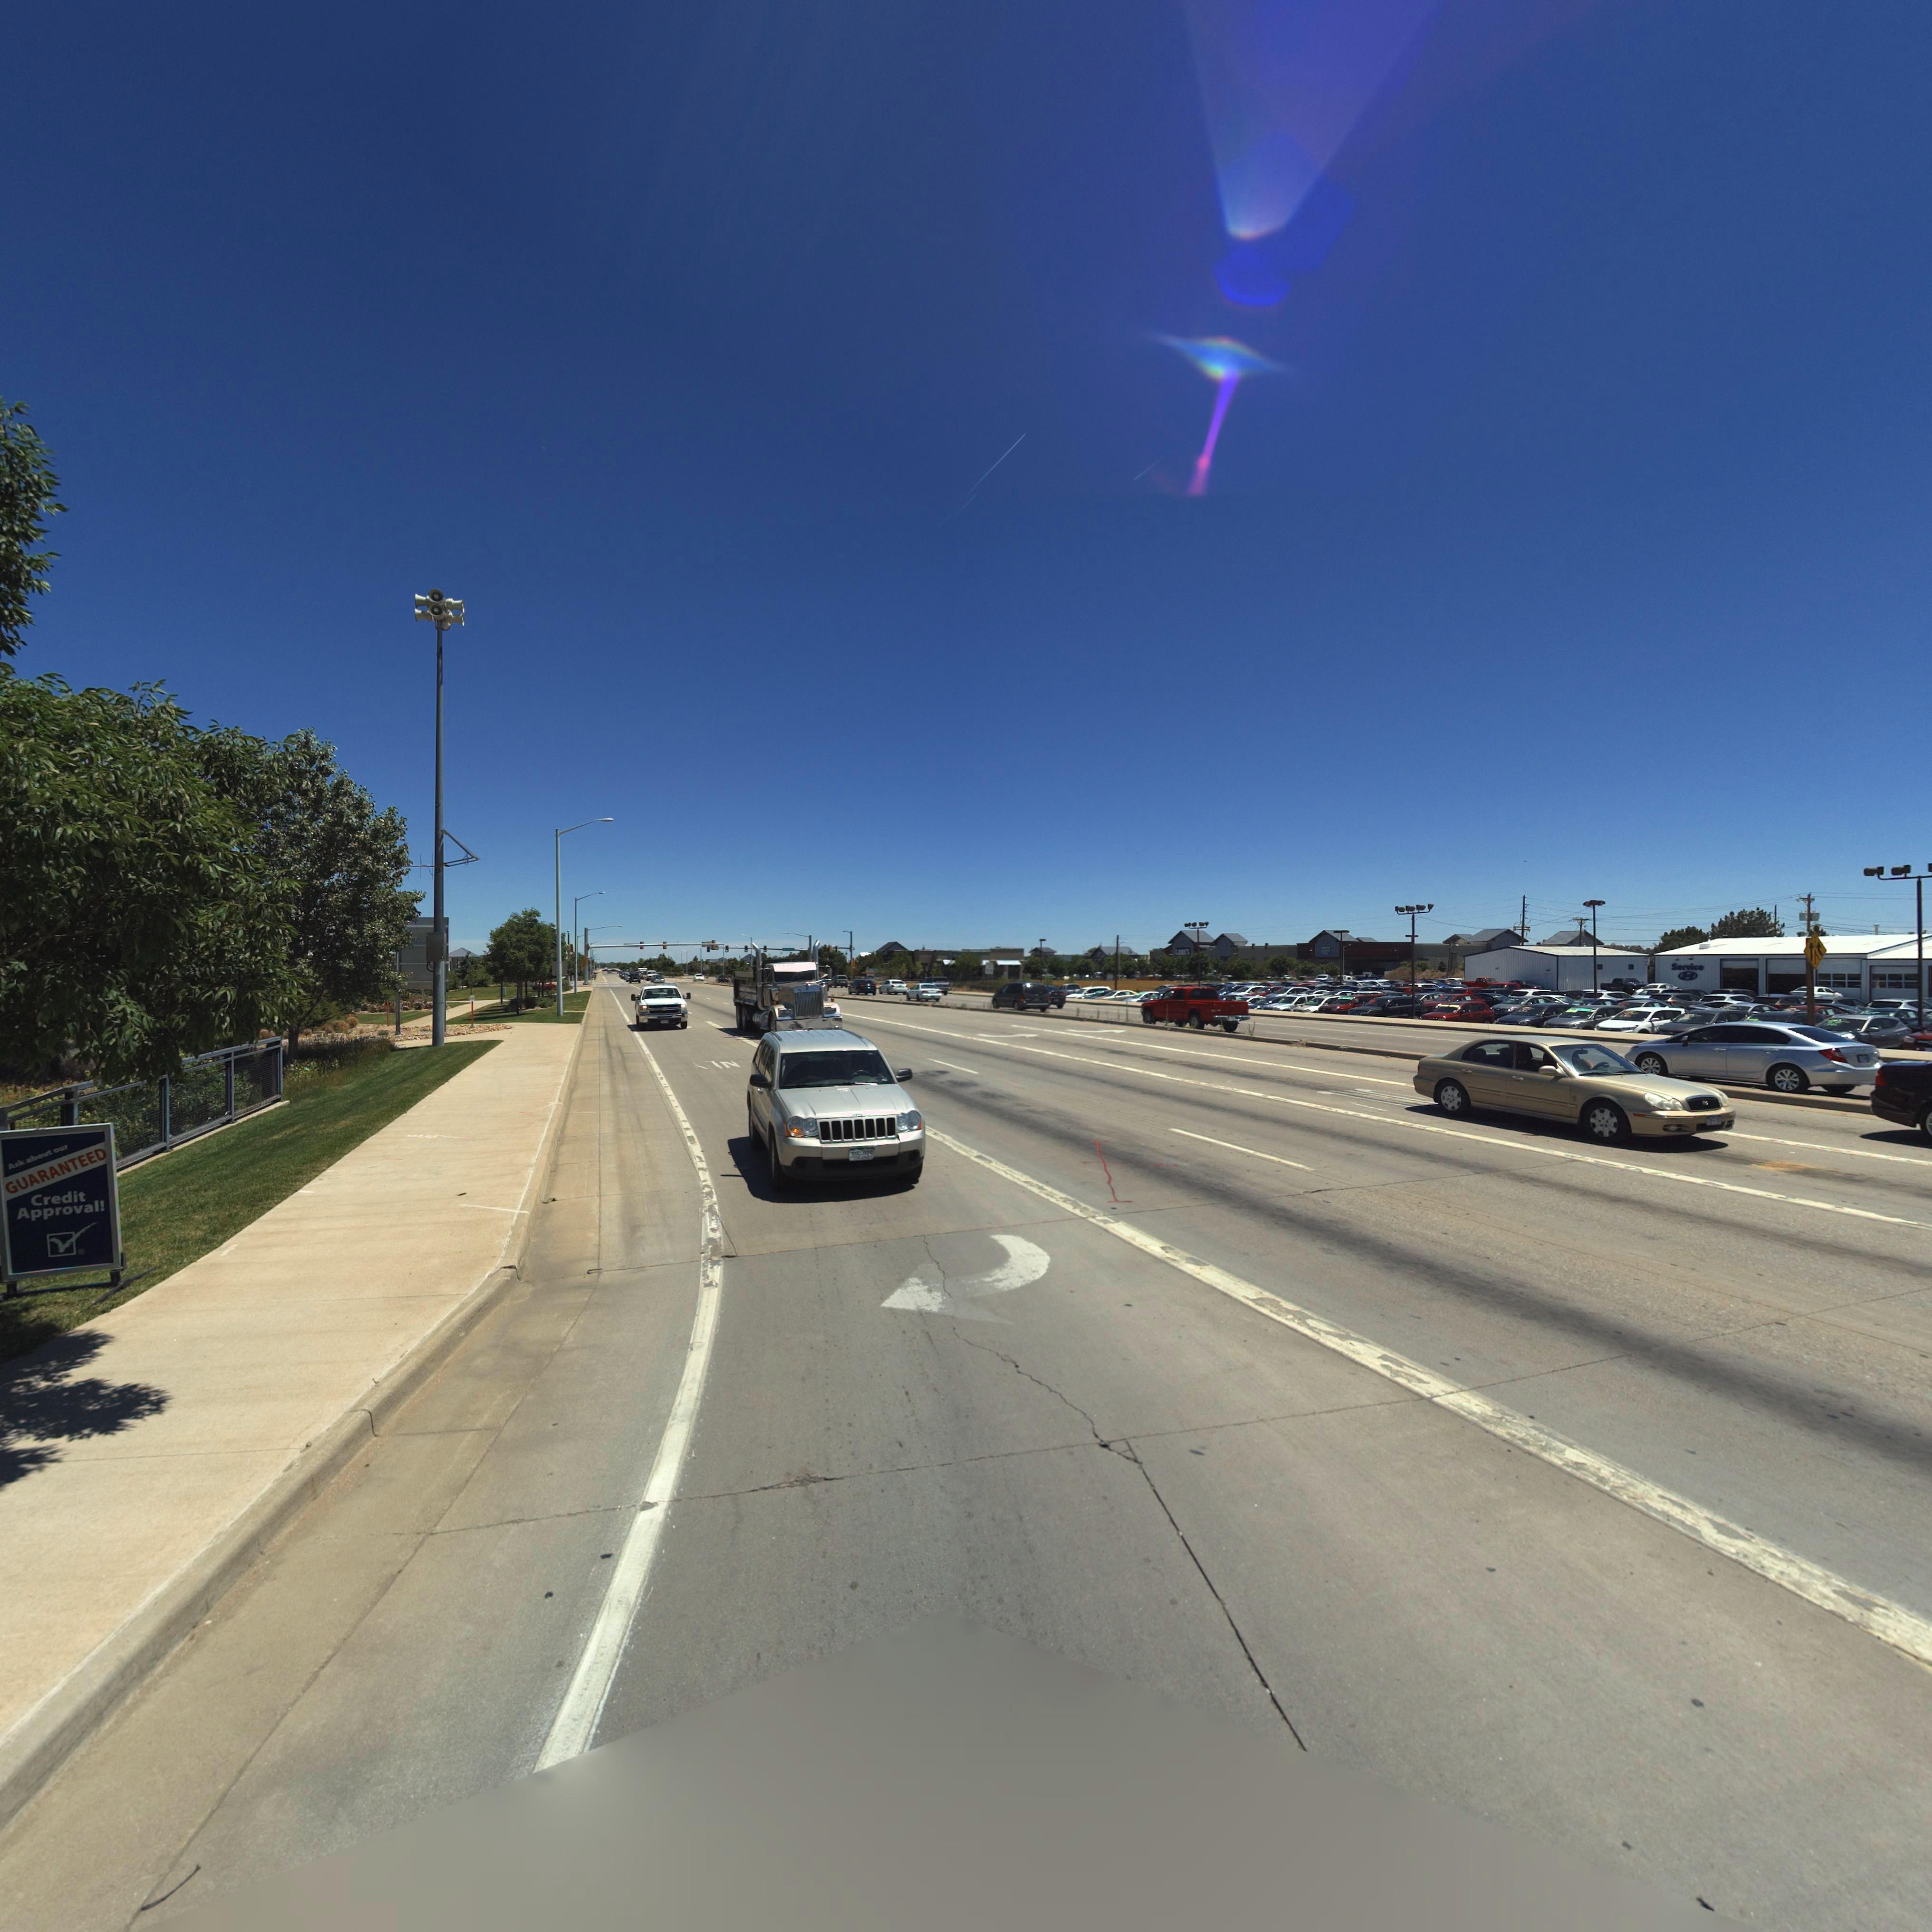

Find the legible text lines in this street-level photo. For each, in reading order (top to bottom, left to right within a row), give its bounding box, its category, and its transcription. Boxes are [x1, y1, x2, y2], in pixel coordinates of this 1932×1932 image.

[1175, 948, 1190, 956] BusinessName: LOWE'S